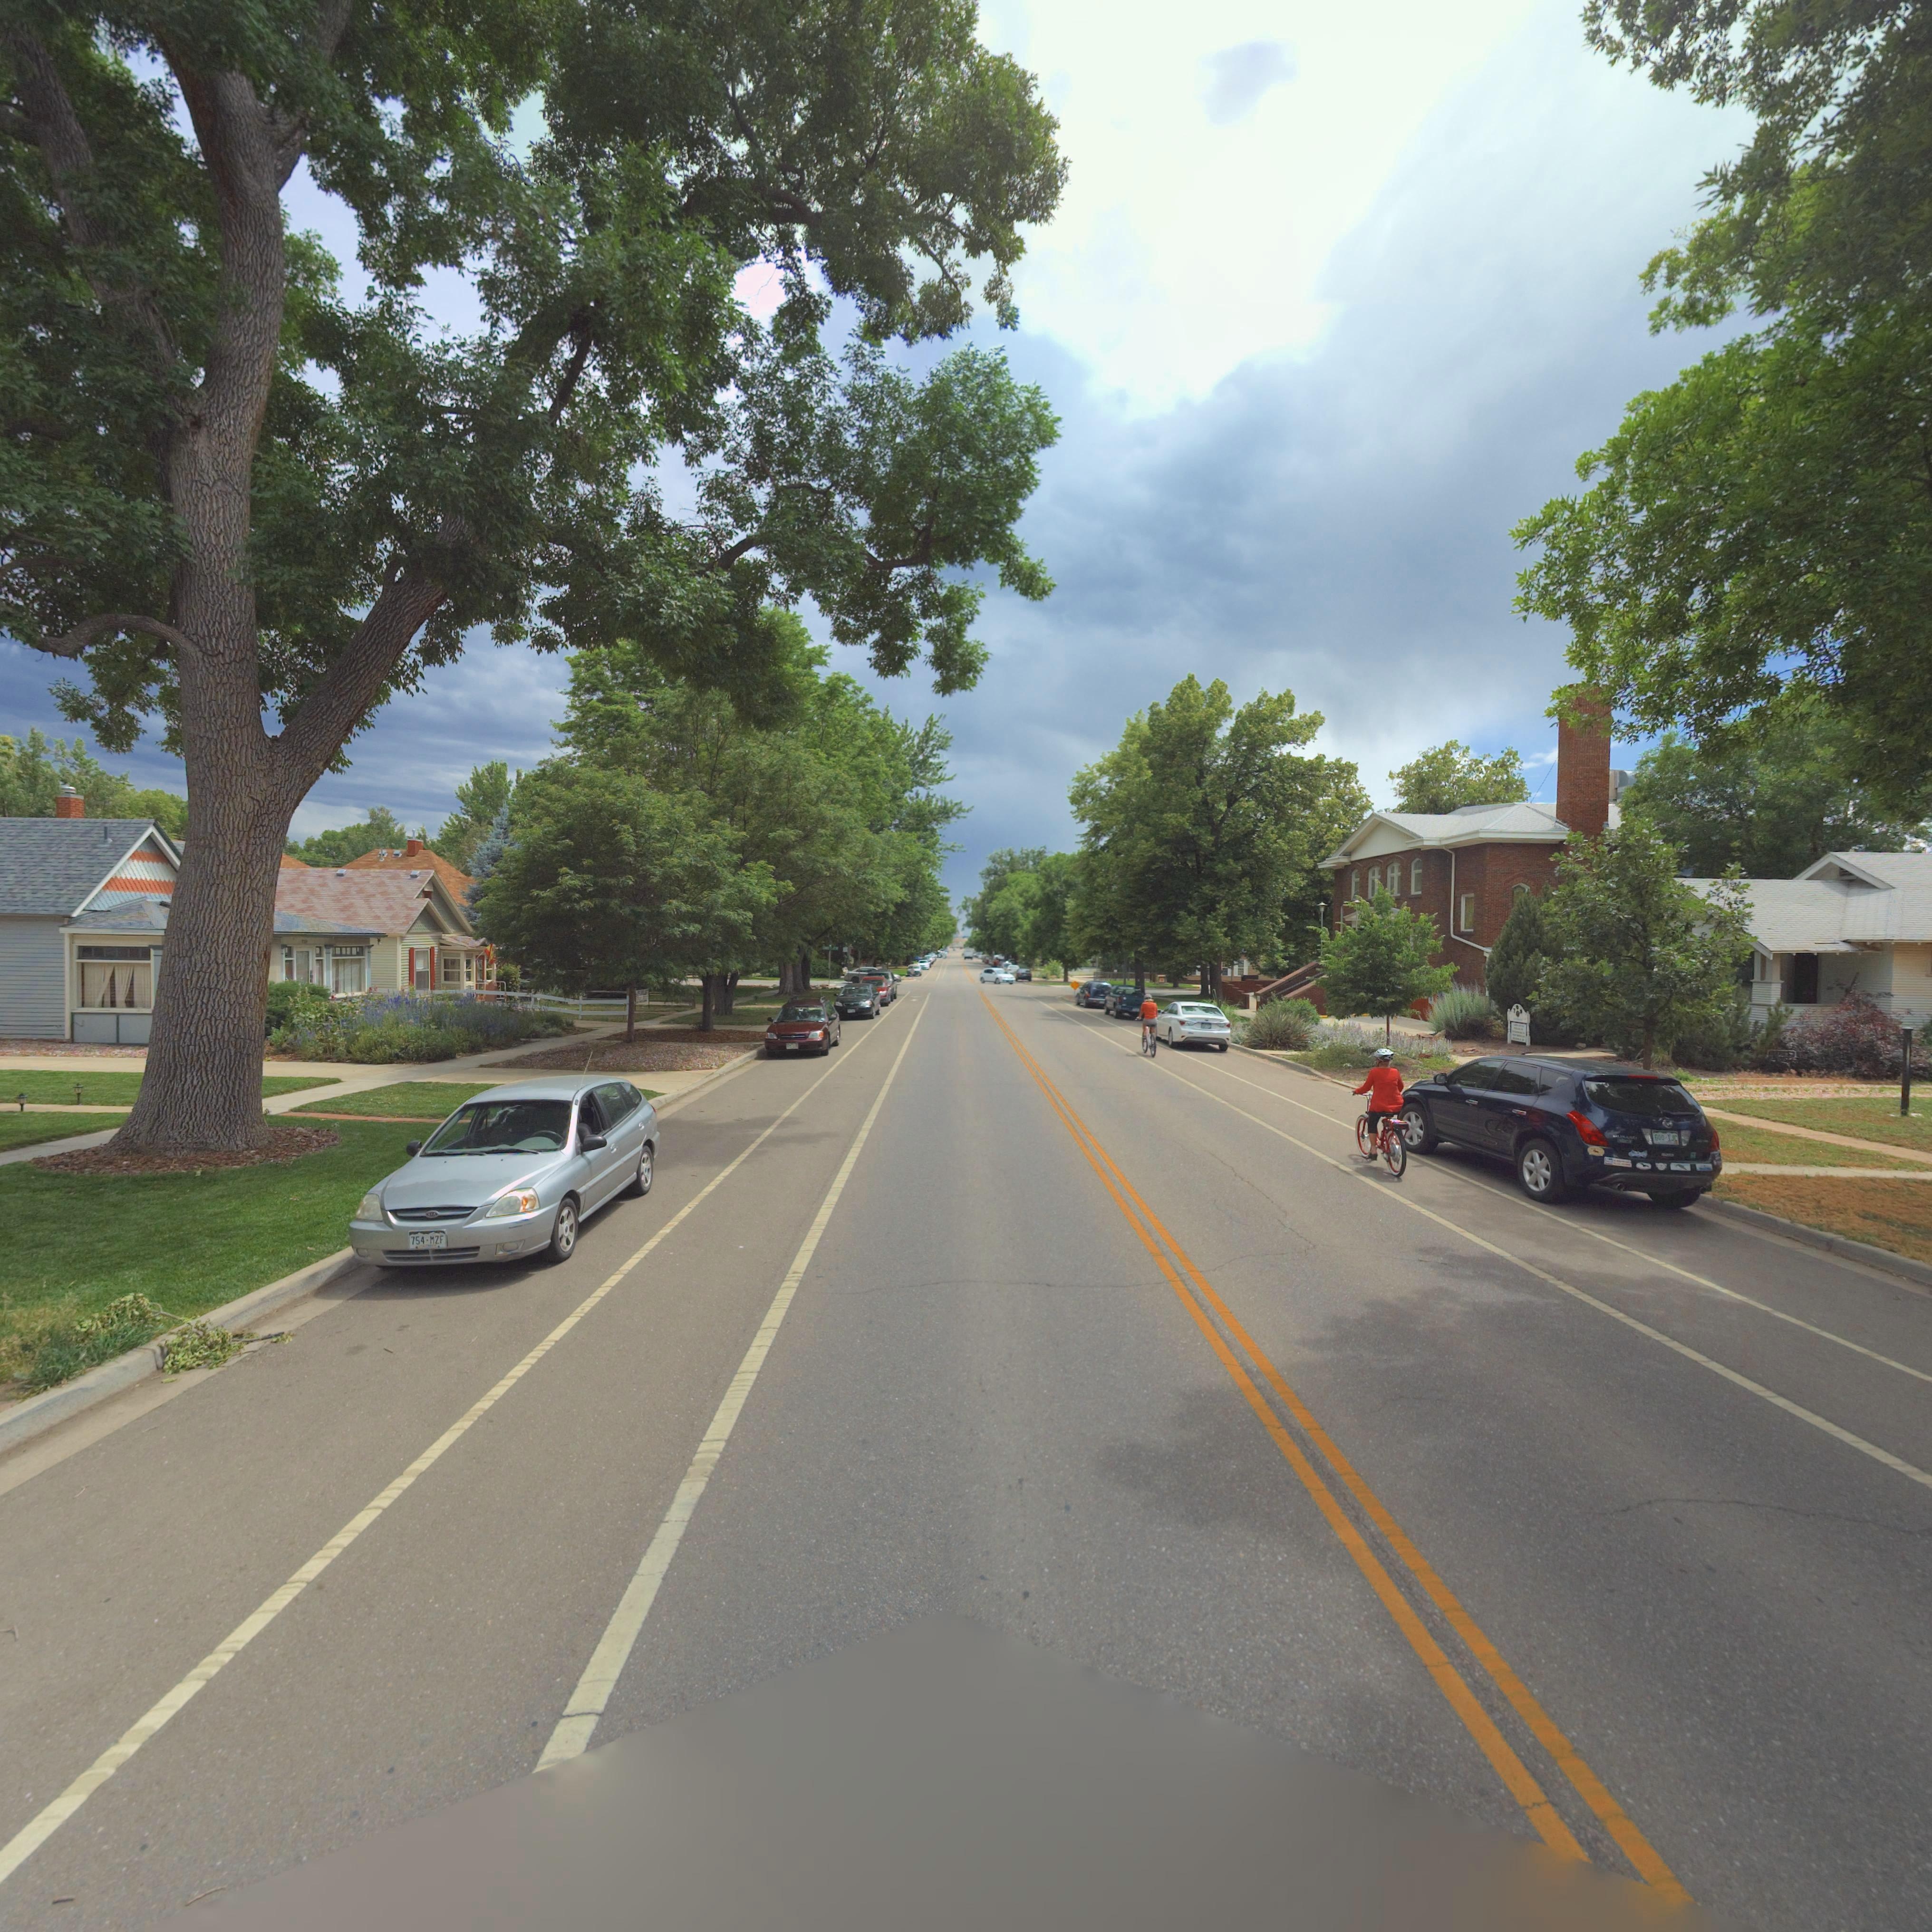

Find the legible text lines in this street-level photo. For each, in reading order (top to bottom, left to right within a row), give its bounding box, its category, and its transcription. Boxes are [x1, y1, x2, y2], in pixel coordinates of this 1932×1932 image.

[1512, 1005, 1522, 1014] StreetNumber: 709